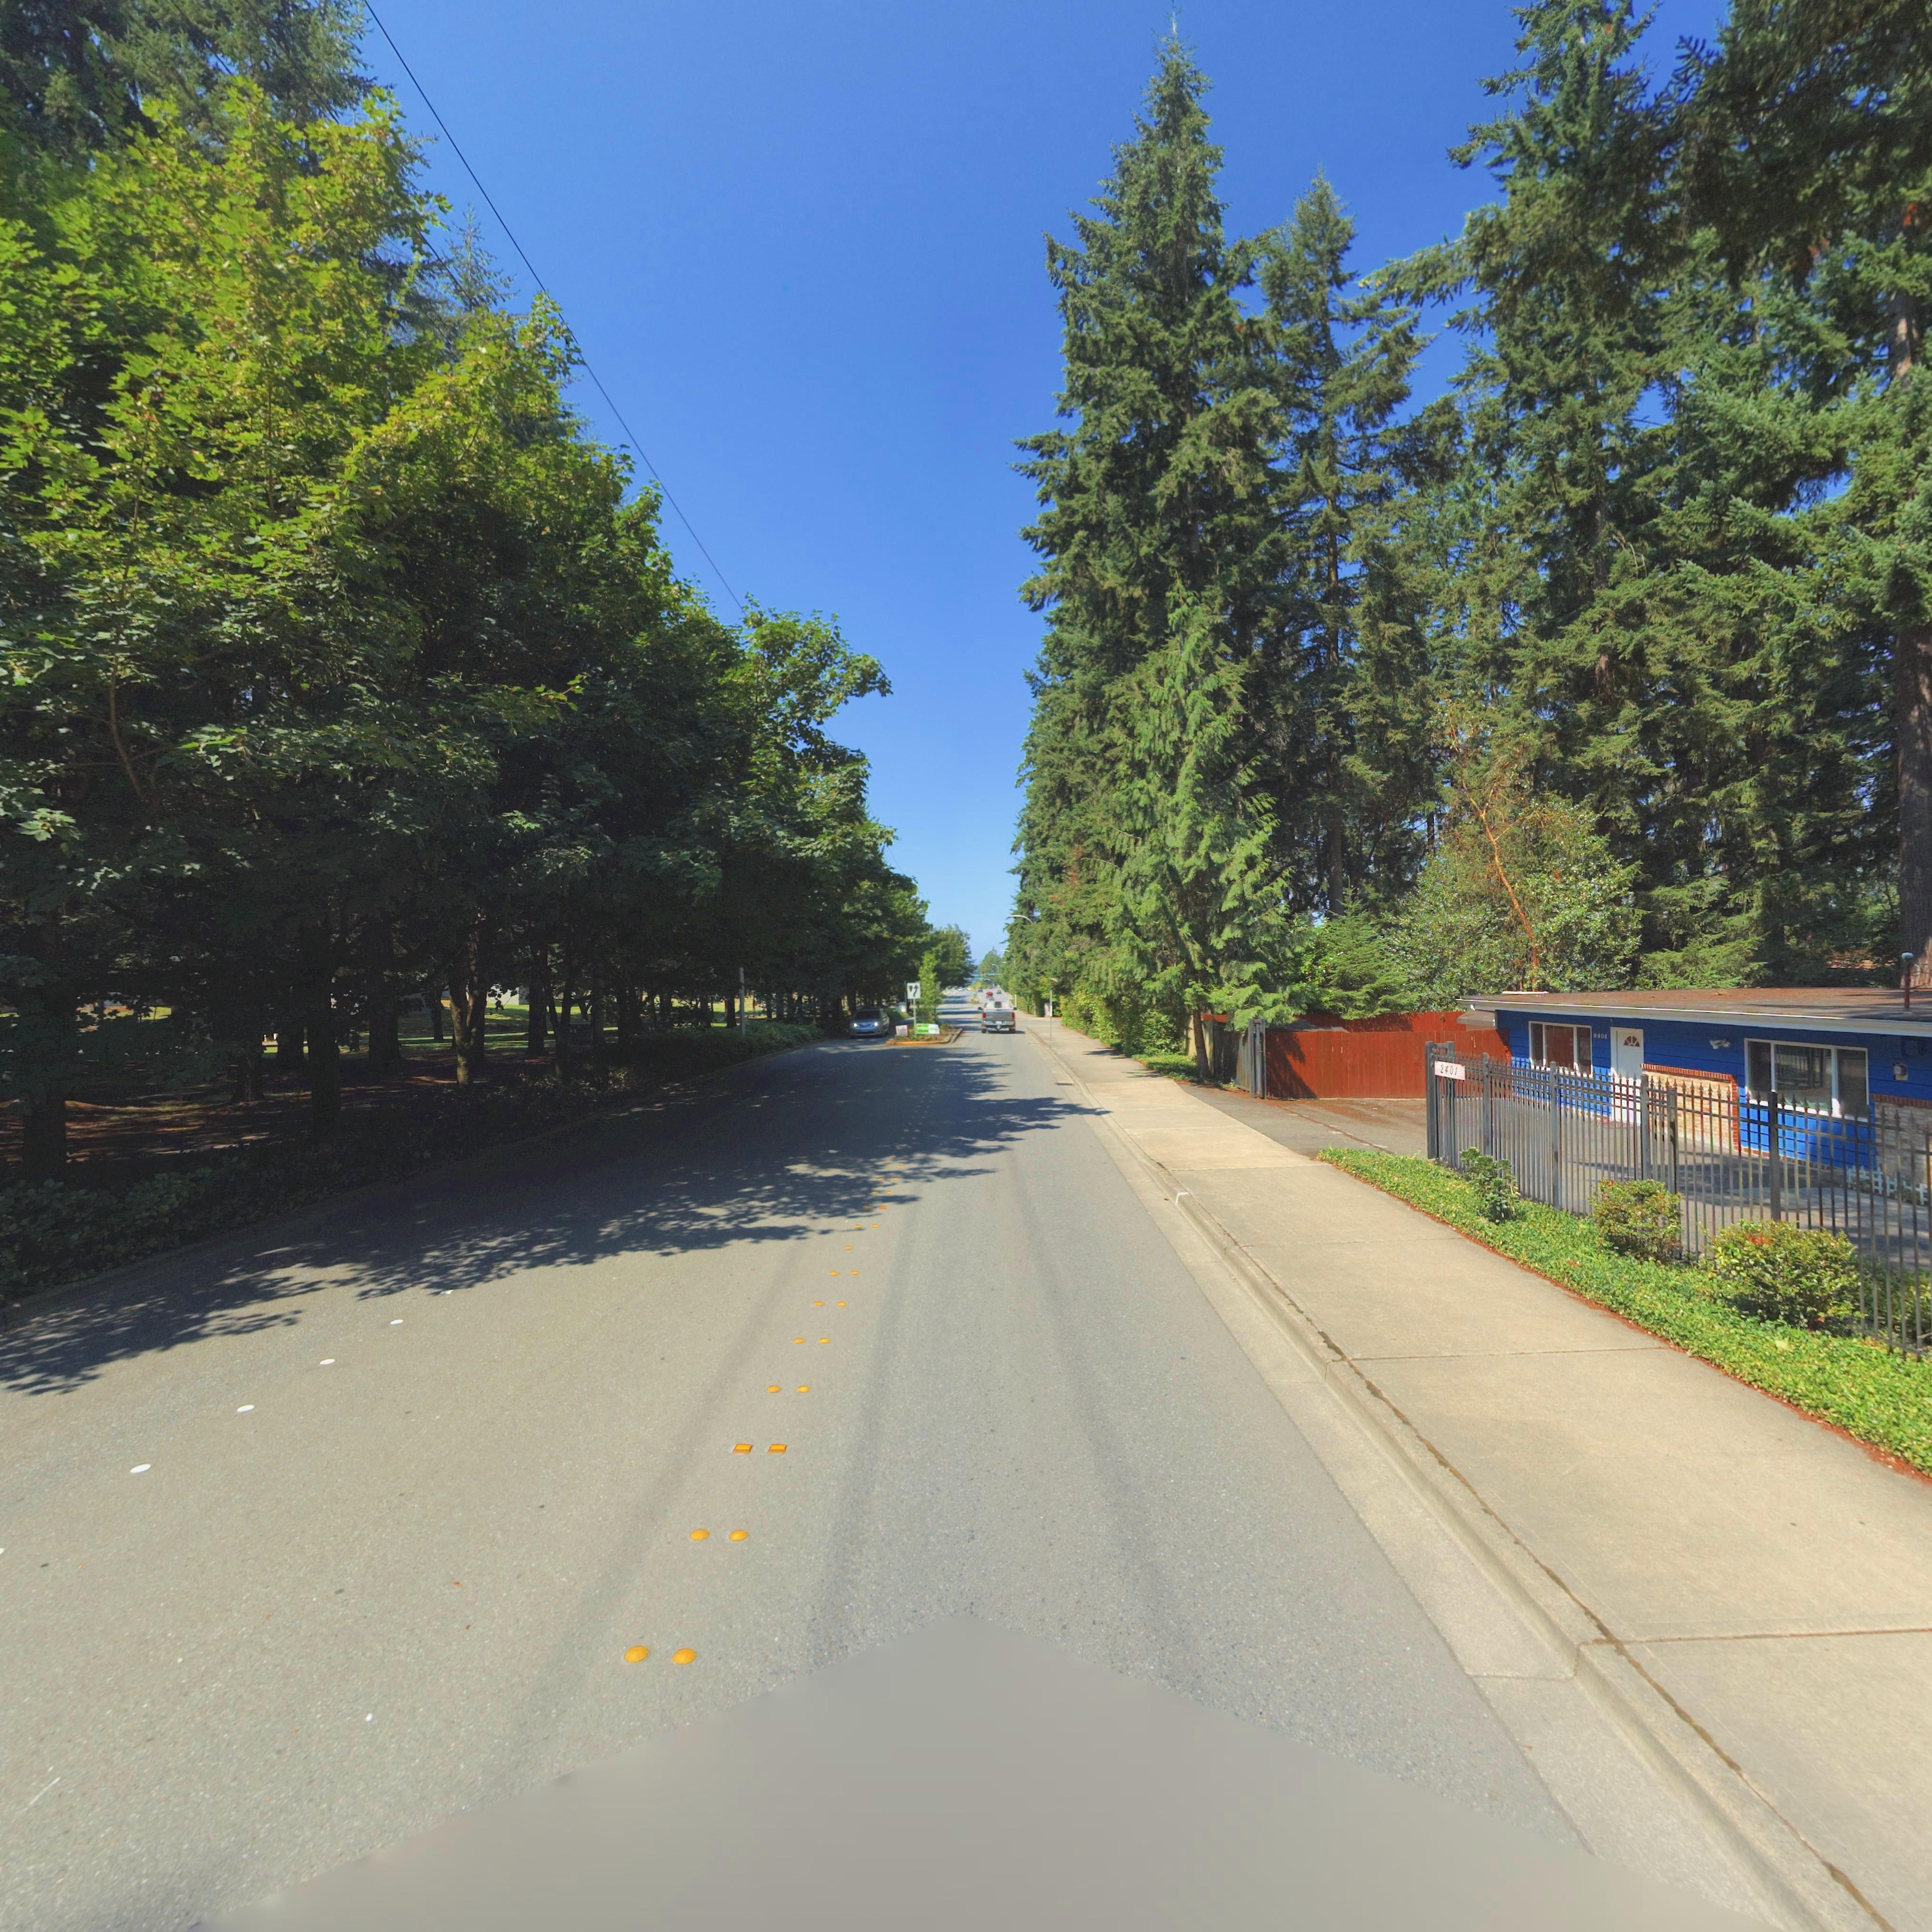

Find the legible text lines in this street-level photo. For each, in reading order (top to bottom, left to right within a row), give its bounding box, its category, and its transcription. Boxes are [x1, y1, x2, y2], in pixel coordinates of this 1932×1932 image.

[1592, 1031, 1608, 1040] StreetNumber: 2401
[1439, 1063, 1459, 1076] StreetNumber: 2401